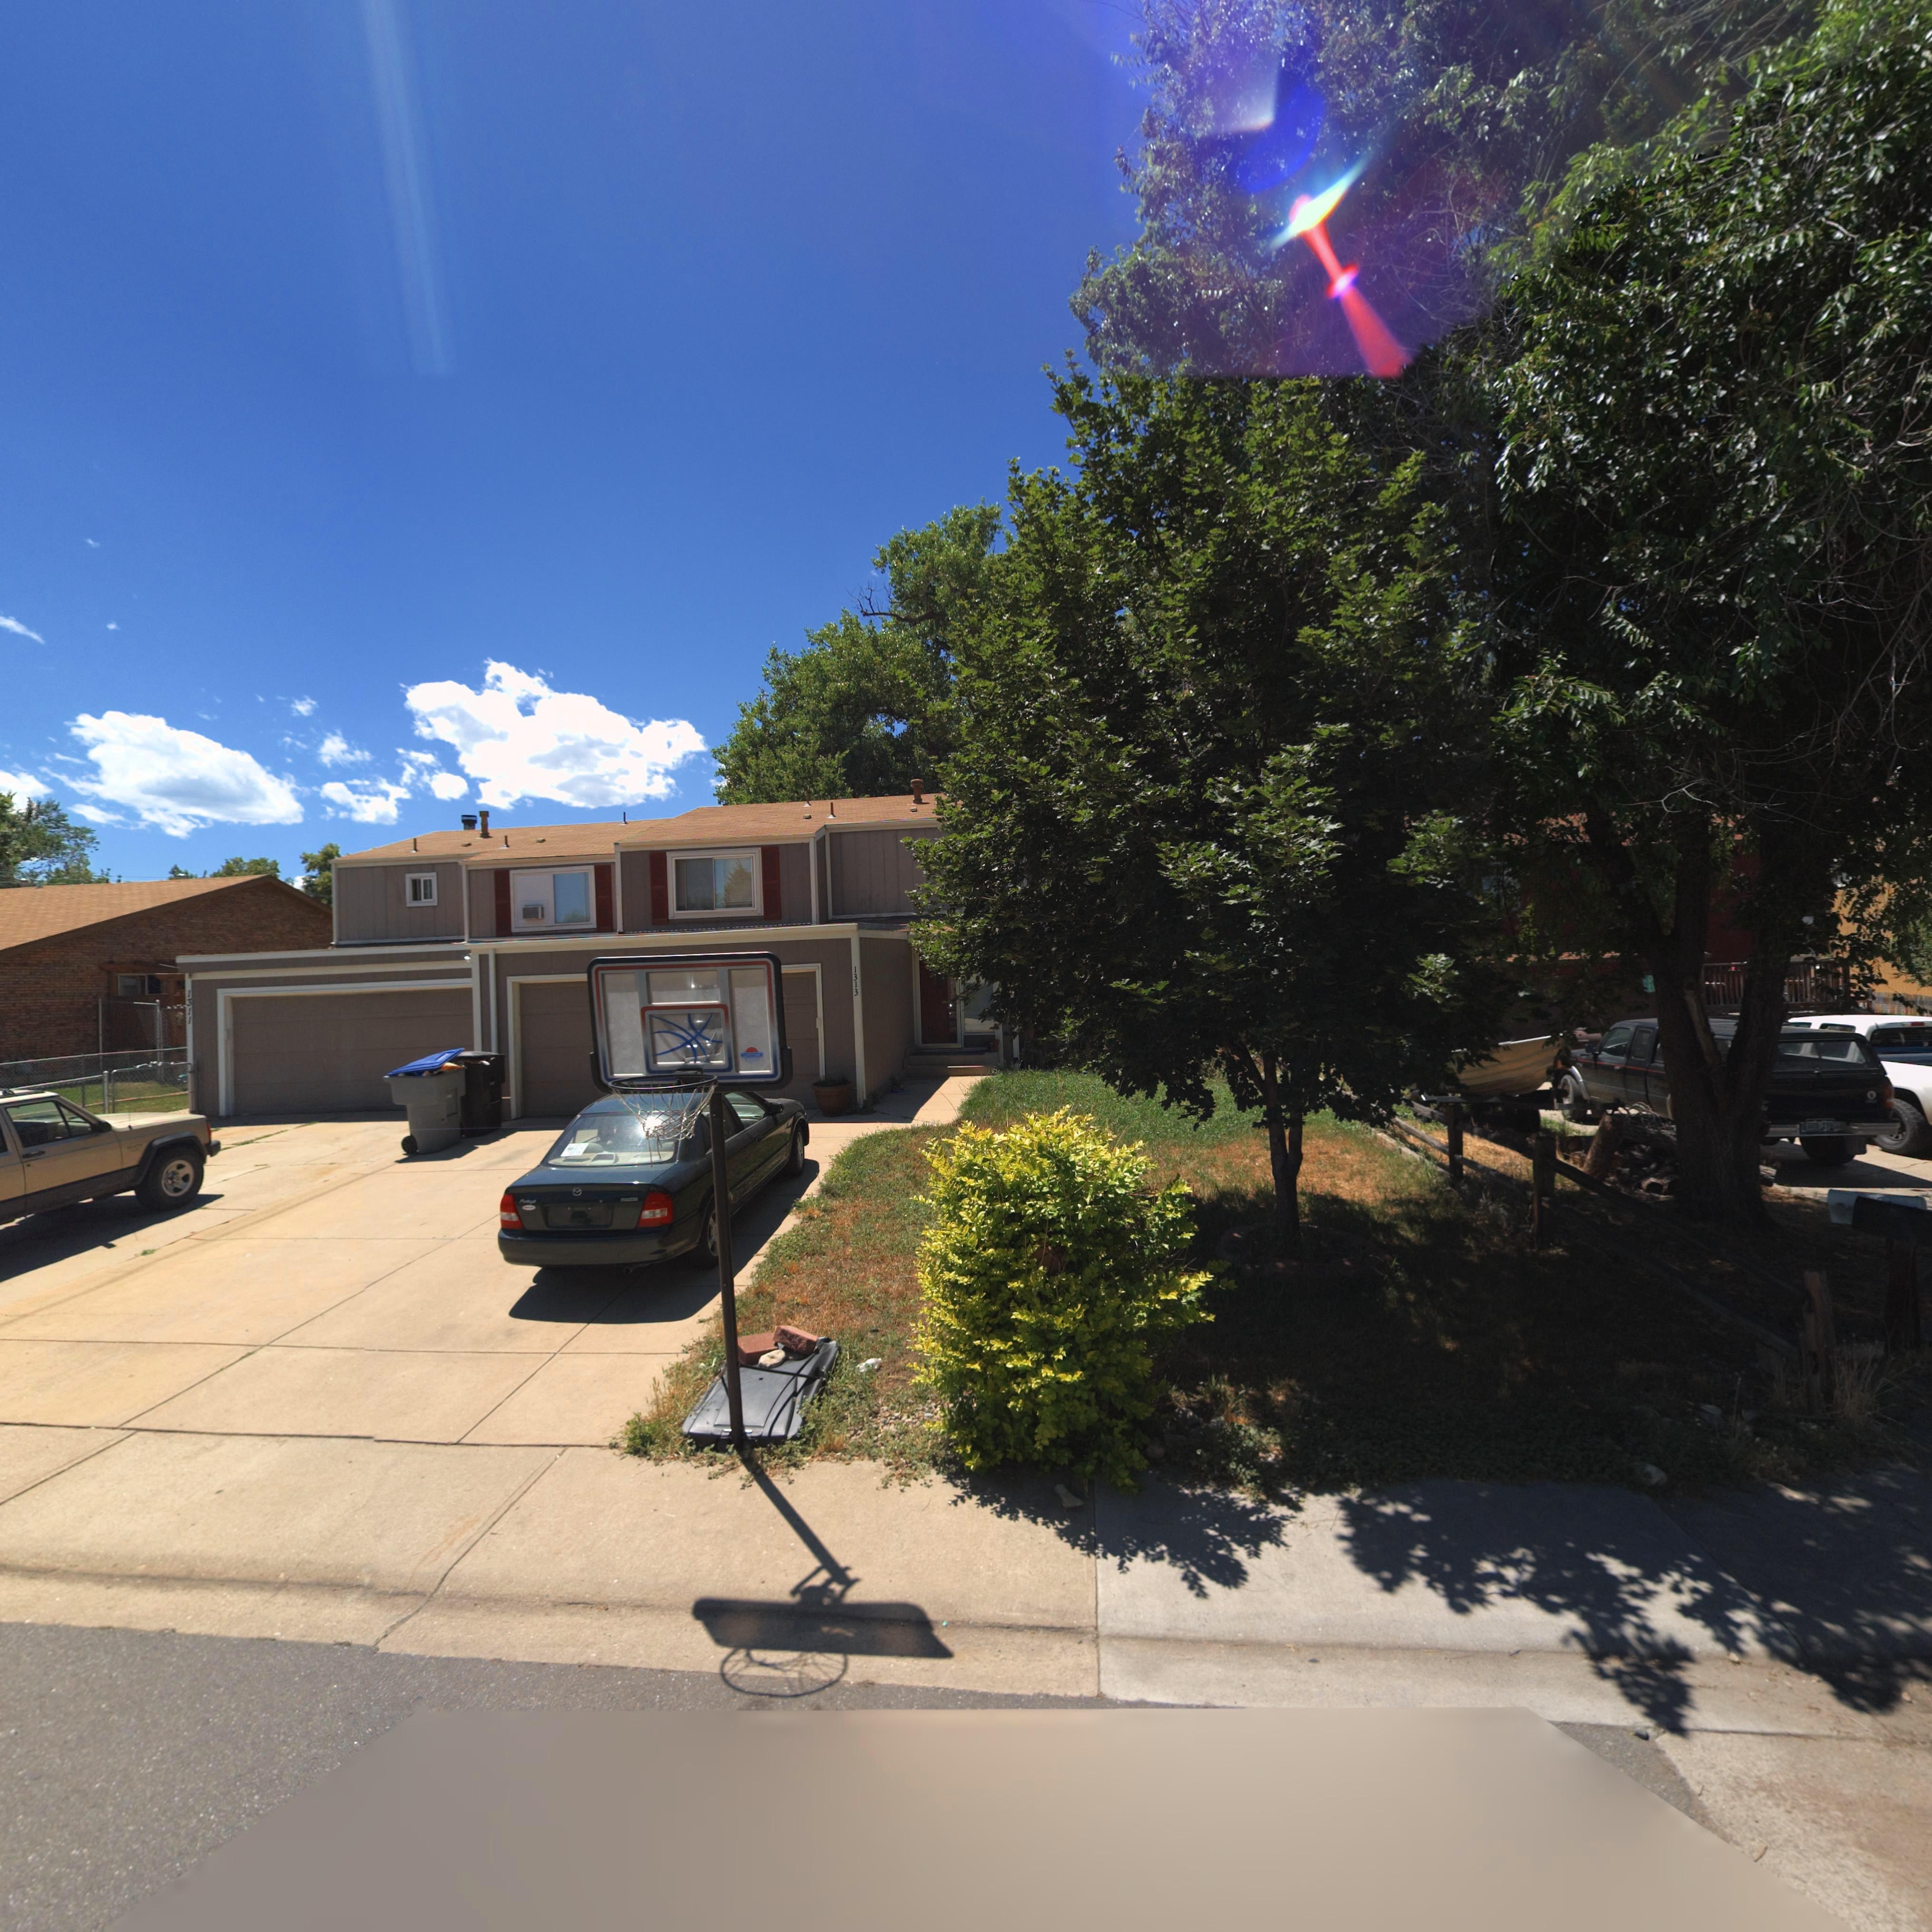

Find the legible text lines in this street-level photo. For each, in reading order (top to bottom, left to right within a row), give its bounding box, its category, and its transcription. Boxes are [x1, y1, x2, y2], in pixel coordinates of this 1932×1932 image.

[854, 966, 858, 996] StreetNumber: 1313
[186, 989, 192, 1024] StreetNumber: 1311